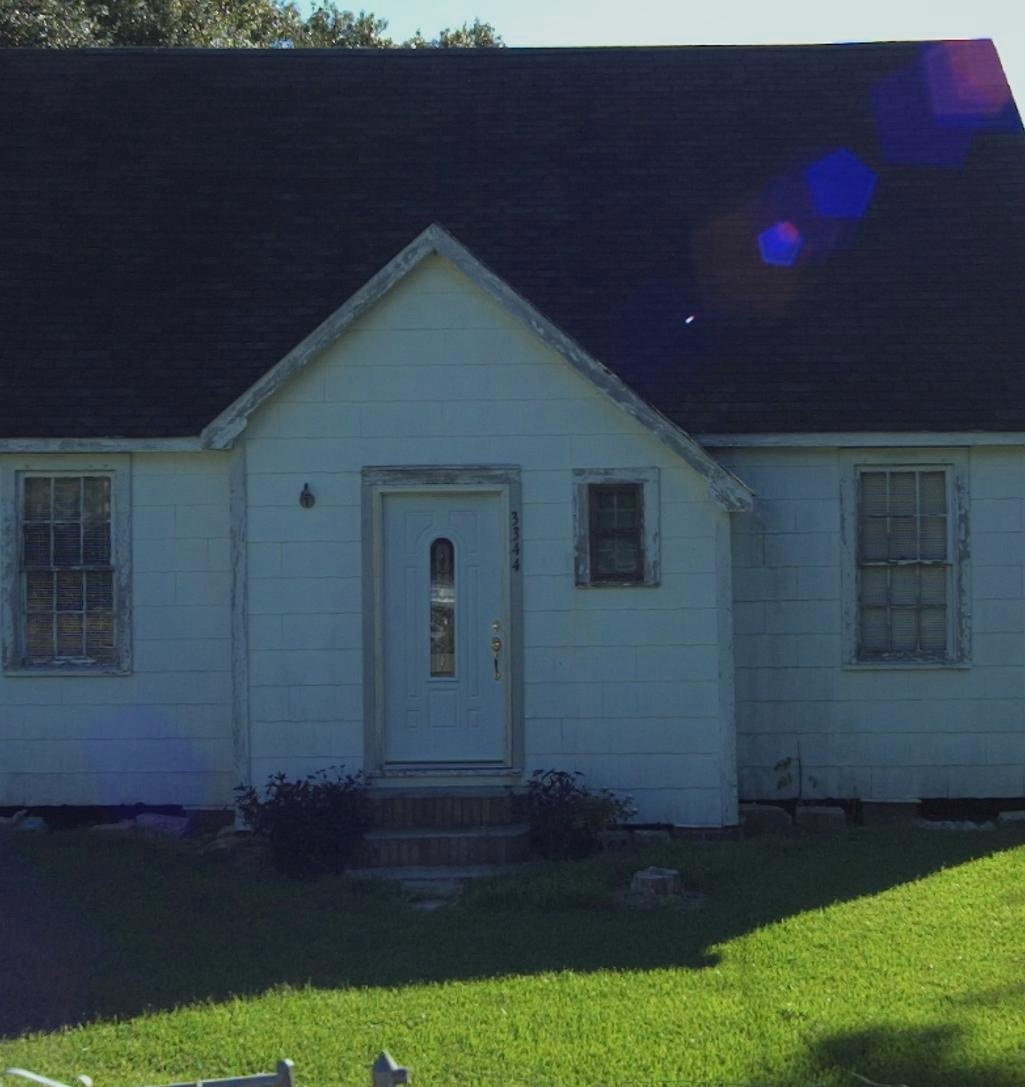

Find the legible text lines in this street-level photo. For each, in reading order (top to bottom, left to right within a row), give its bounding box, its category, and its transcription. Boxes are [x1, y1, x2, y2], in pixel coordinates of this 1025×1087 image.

[508, 509, 523, 574] StreetNumber: 3344